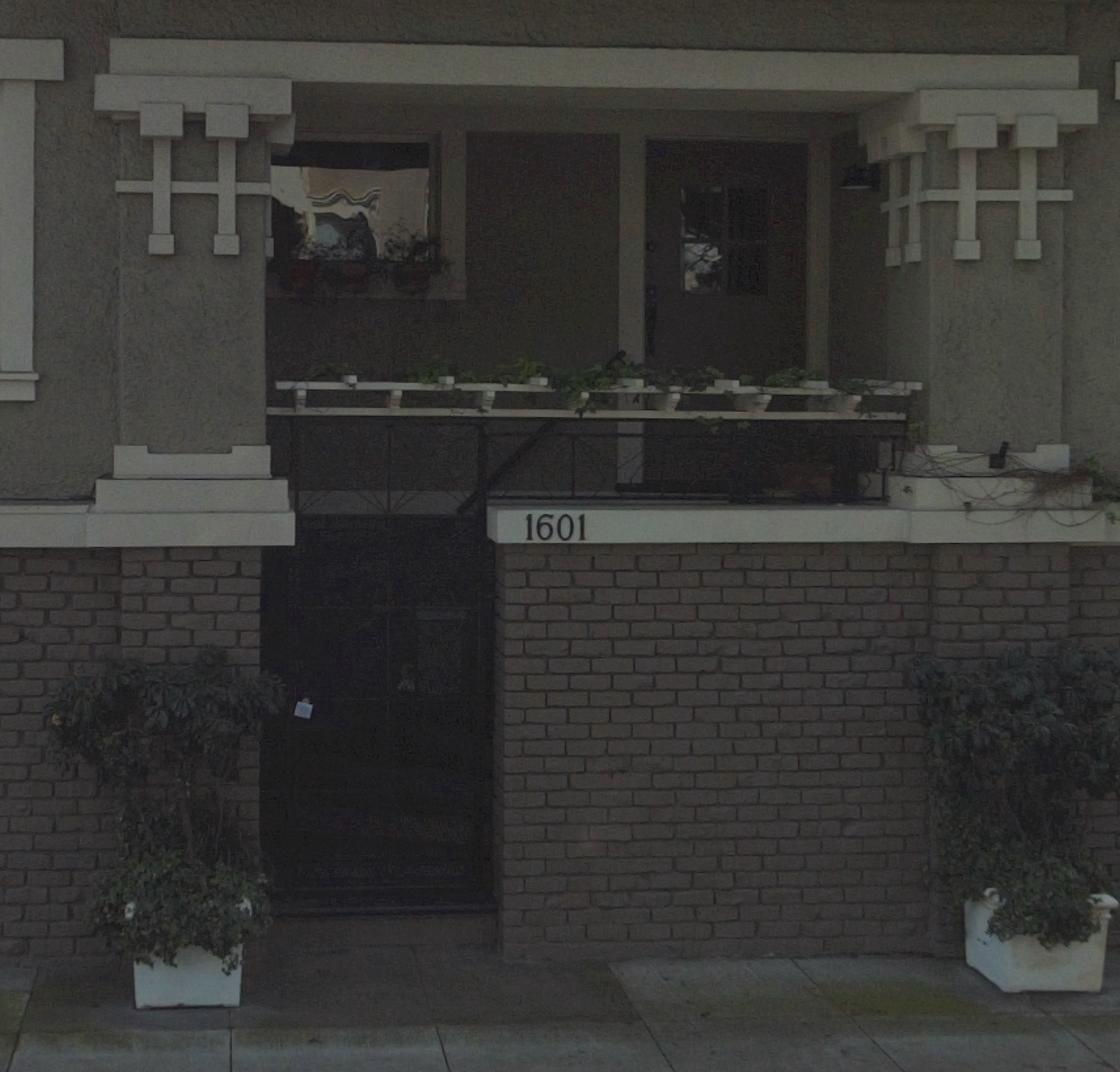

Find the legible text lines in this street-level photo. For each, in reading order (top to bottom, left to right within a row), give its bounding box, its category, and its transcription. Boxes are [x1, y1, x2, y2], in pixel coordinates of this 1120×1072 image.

[523, 512, 588, 542] StreetNumber: 1601